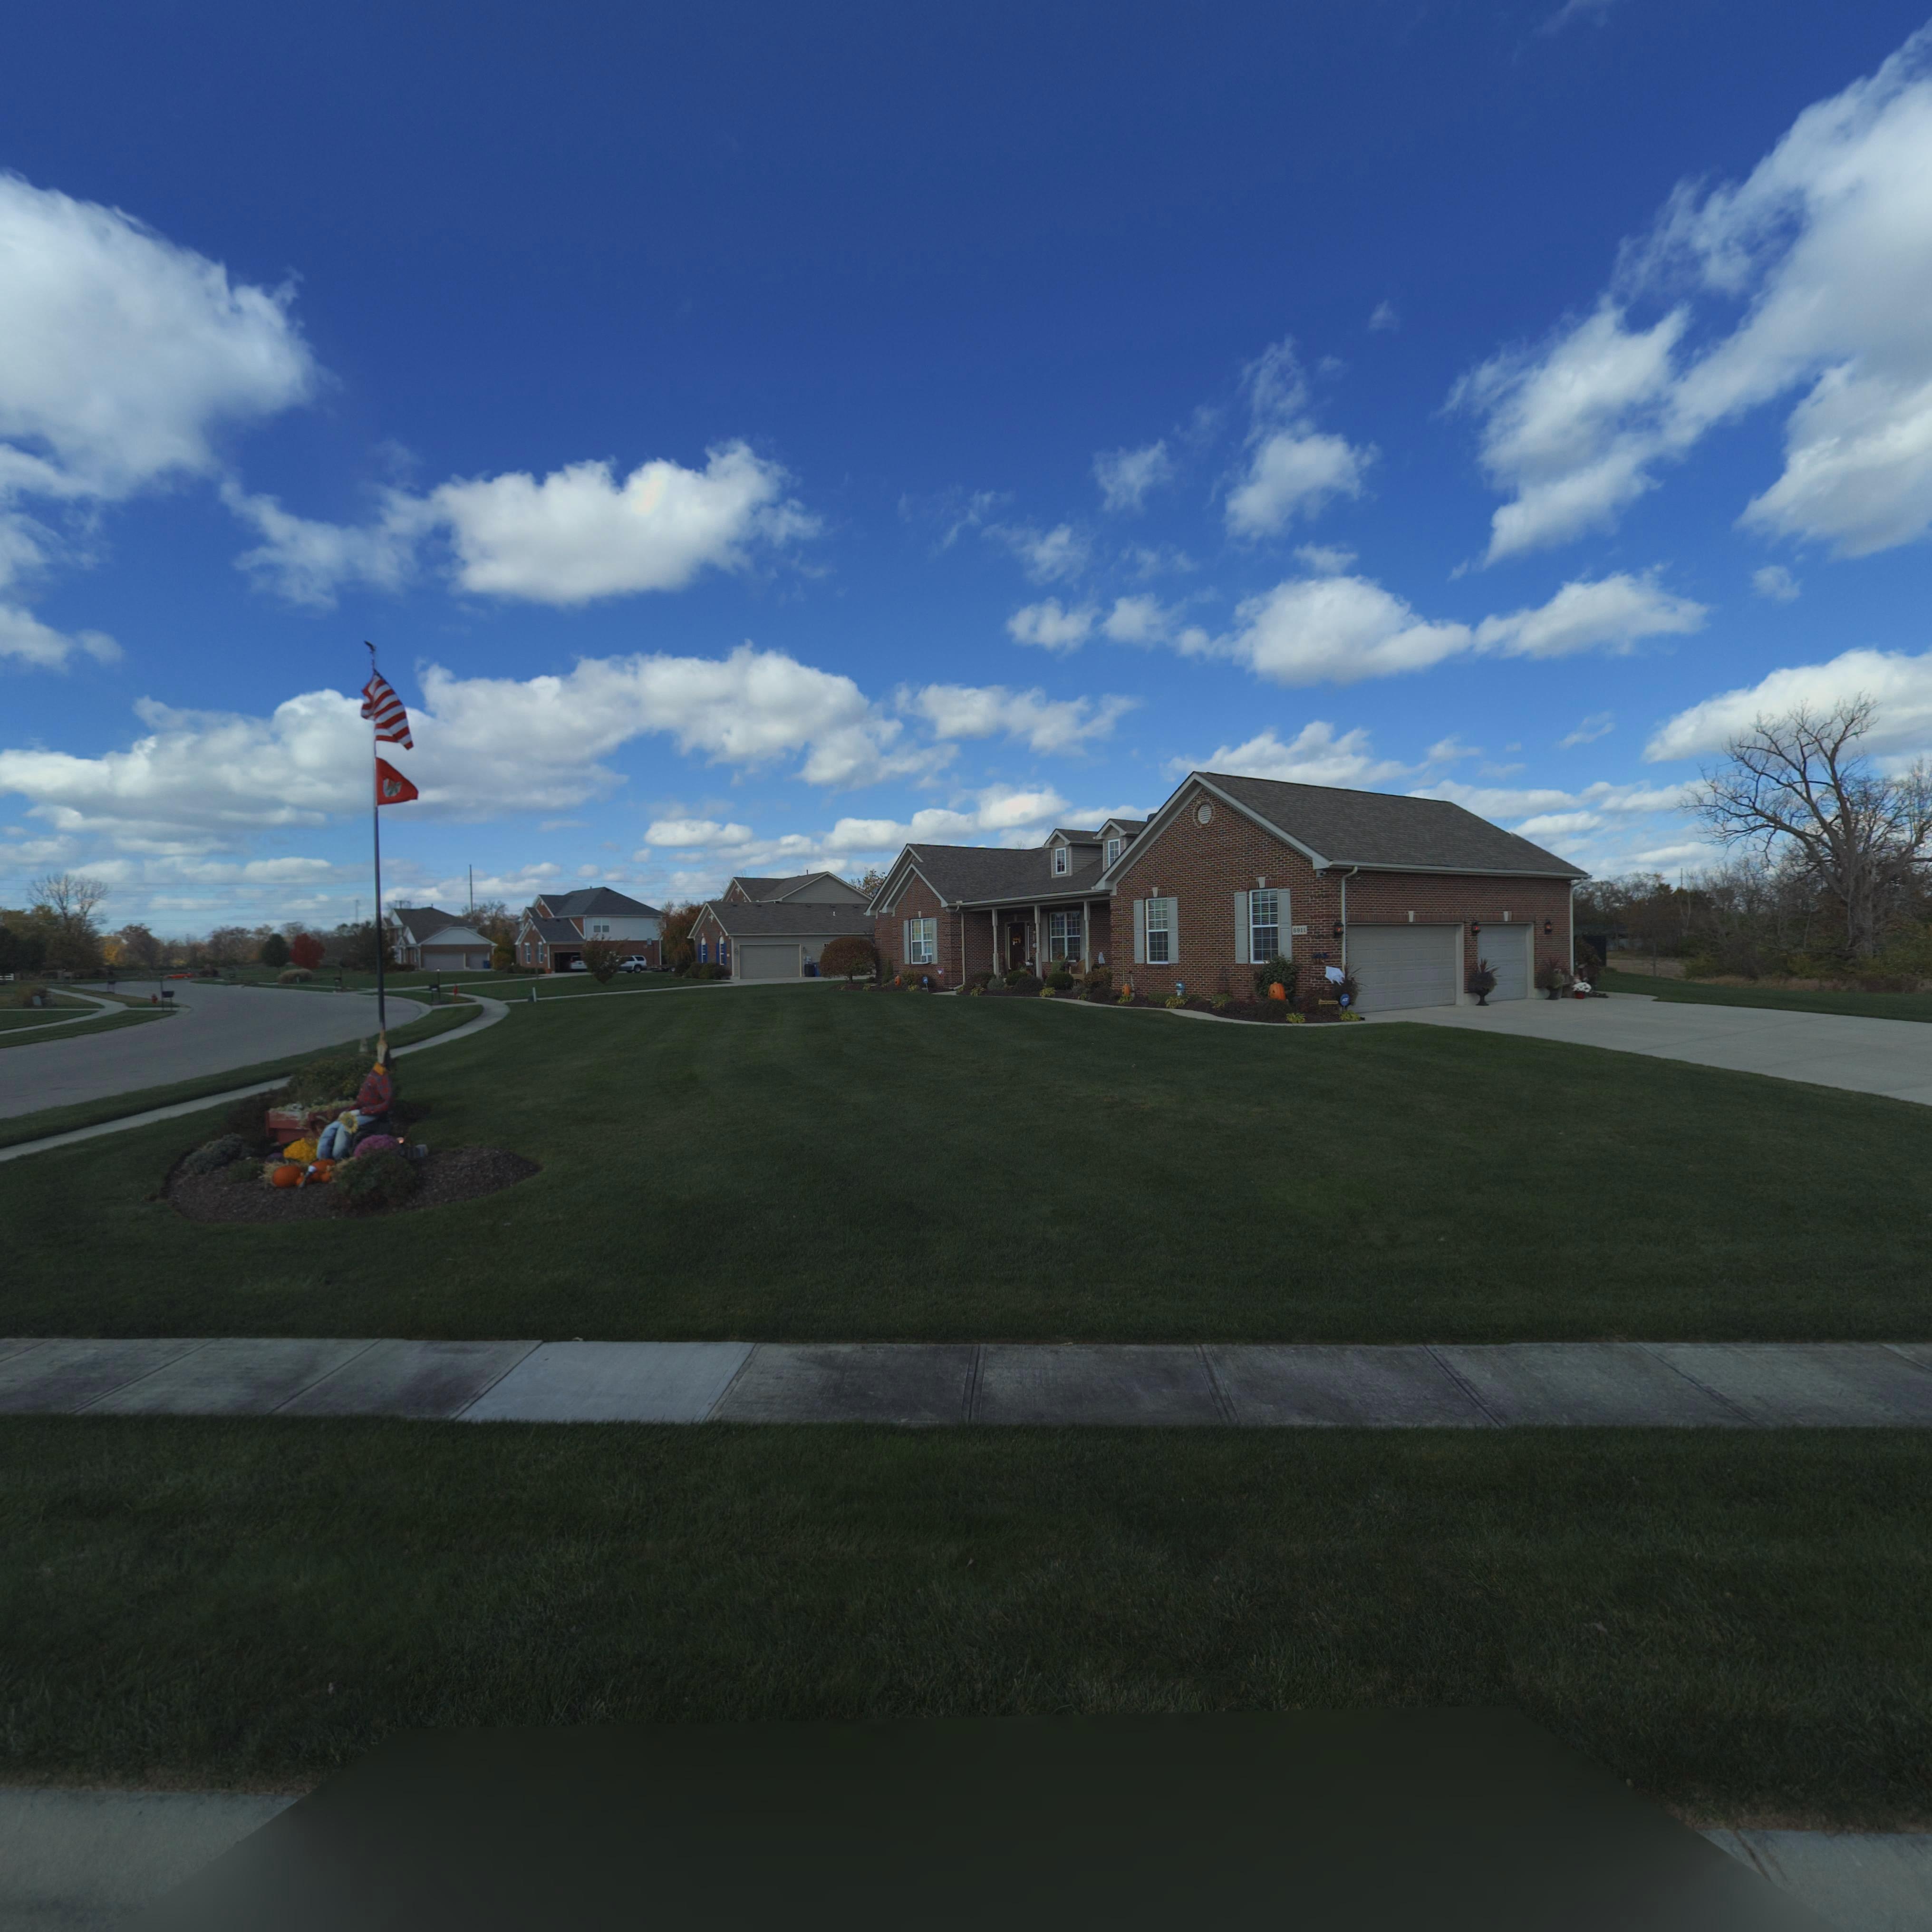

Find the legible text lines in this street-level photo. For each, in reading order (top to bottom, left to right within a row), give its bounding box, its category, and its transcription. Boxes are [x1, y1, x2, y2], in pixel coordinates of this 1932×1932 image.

[1293, 927, 1306, 933] StreetNumber: 6911